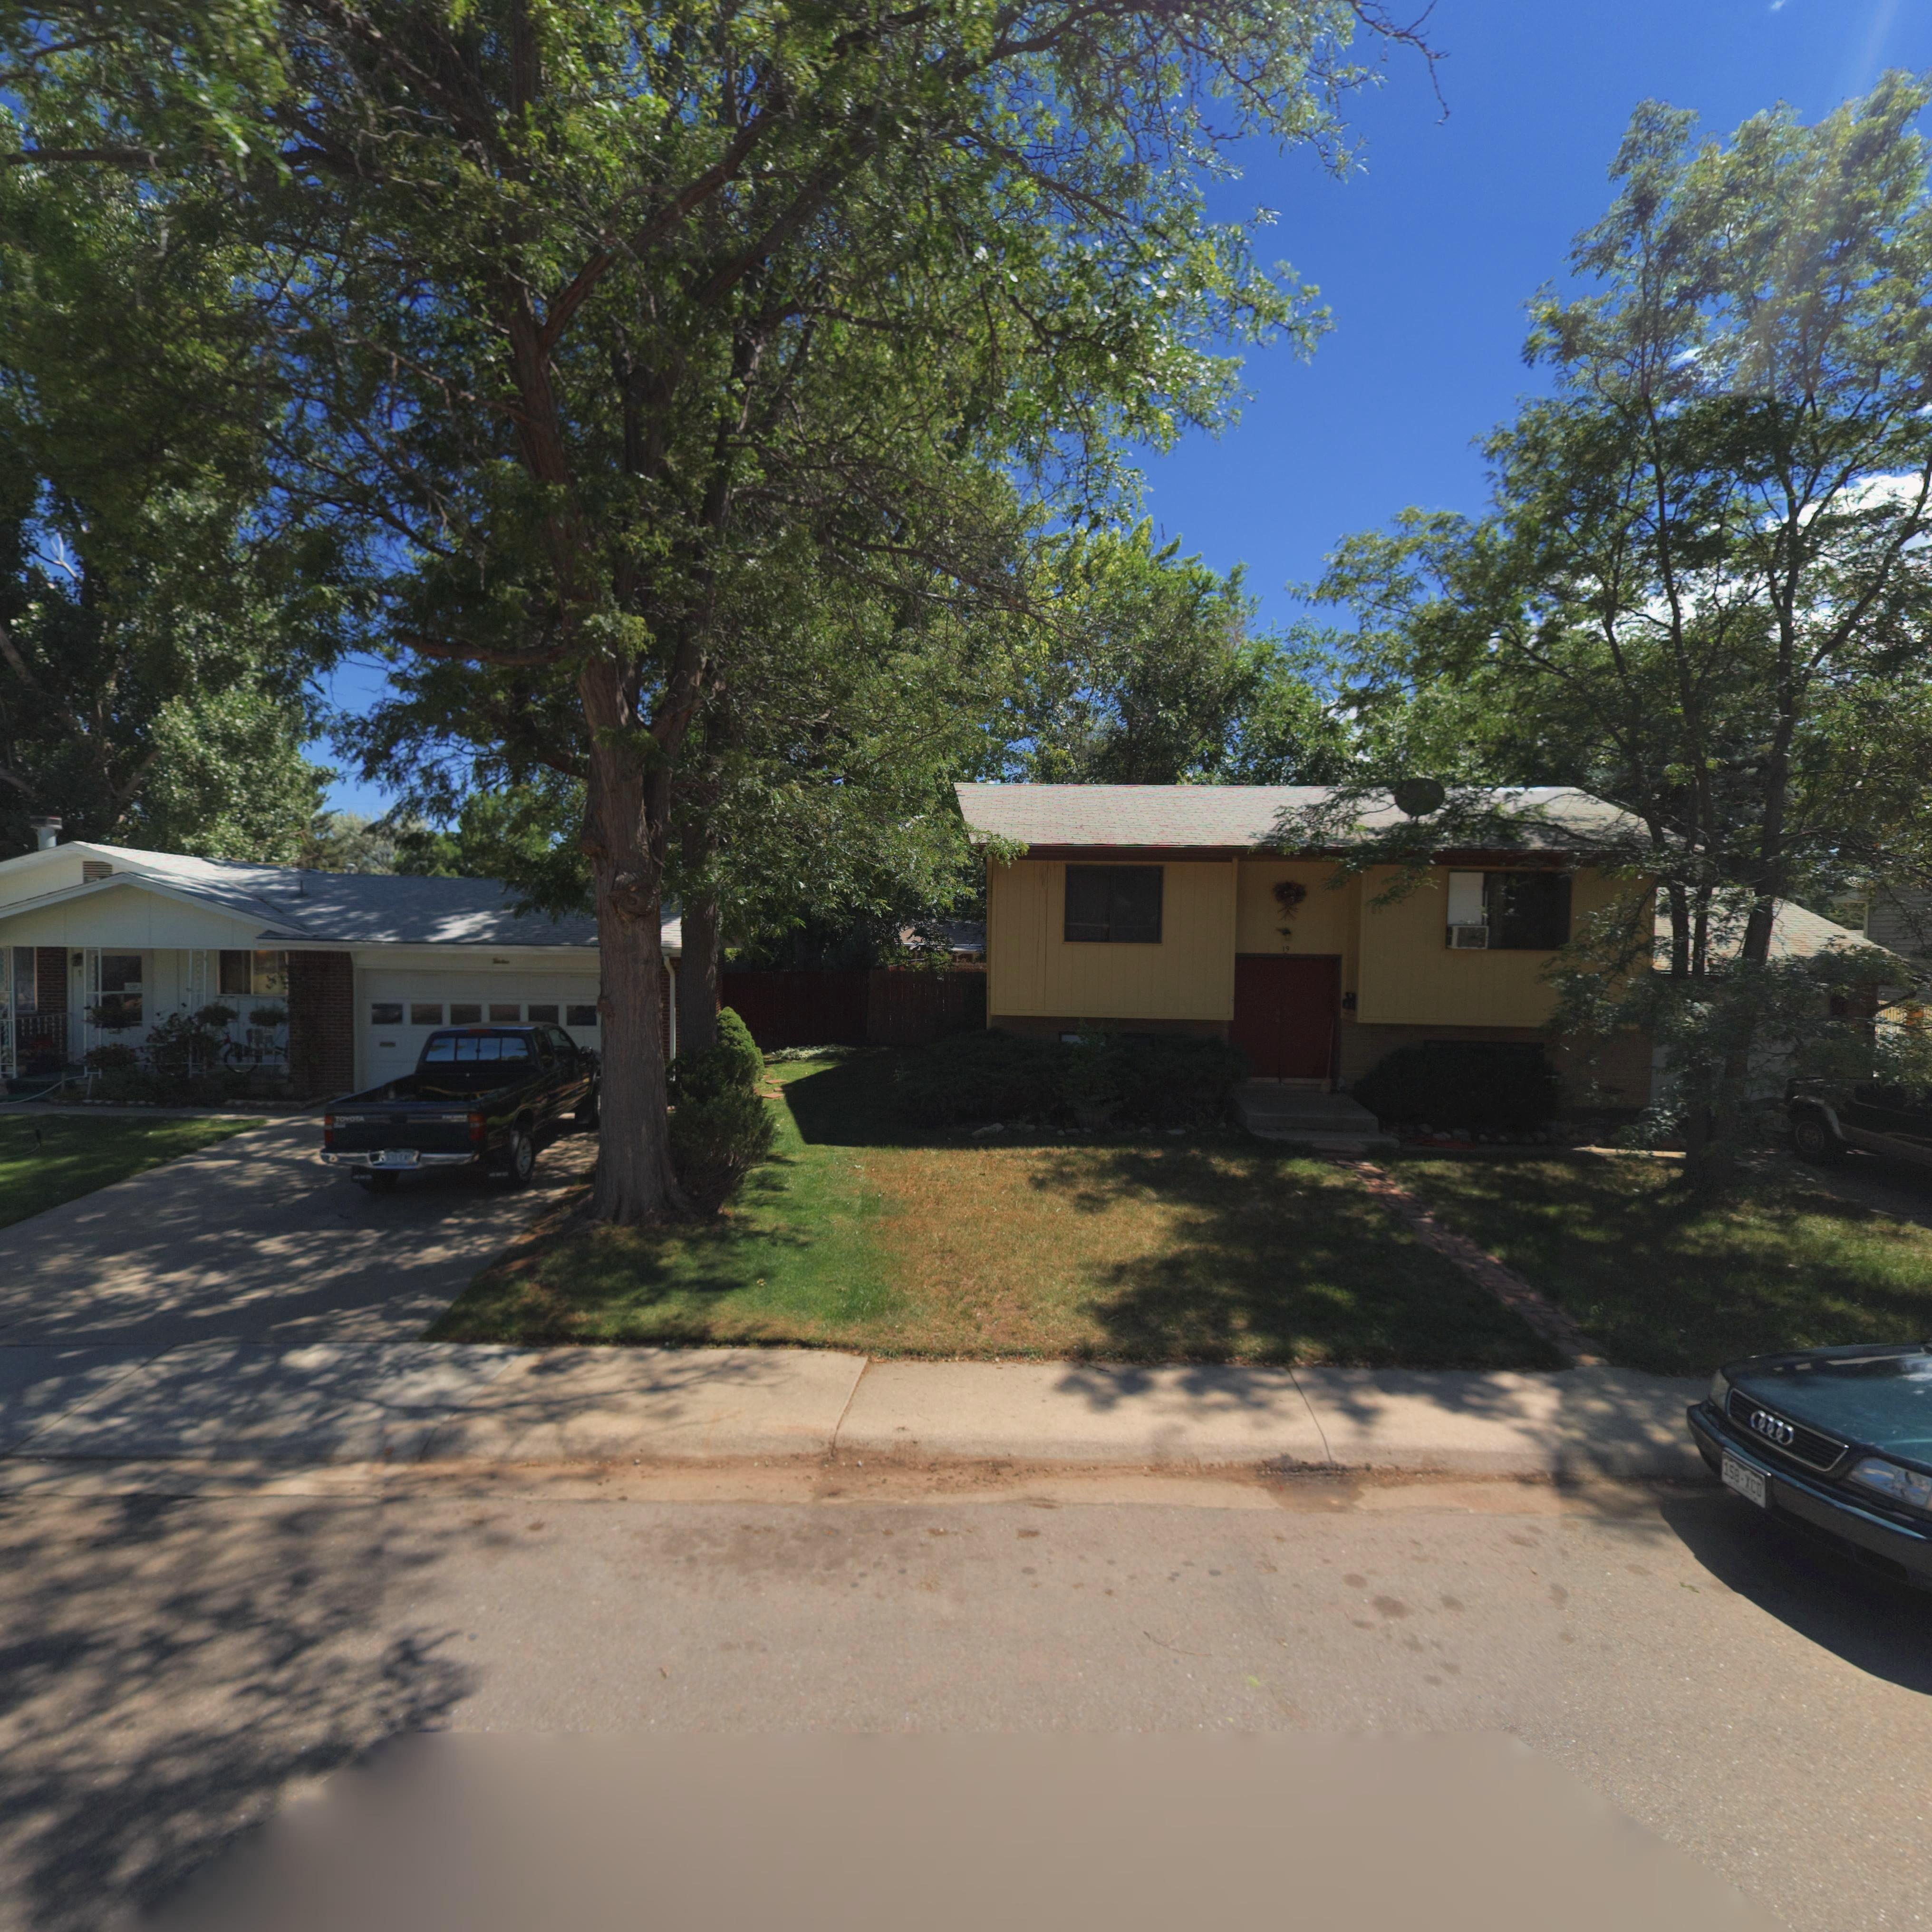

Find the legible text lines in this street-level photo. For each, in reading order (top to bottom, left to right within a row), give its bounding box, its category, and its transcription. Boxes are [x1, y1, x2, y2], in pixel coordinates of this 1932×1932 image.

[1282, 945, 1290, 952] StreetNumber: 19
[77, 969, 82, 977] StreetNumber: 1